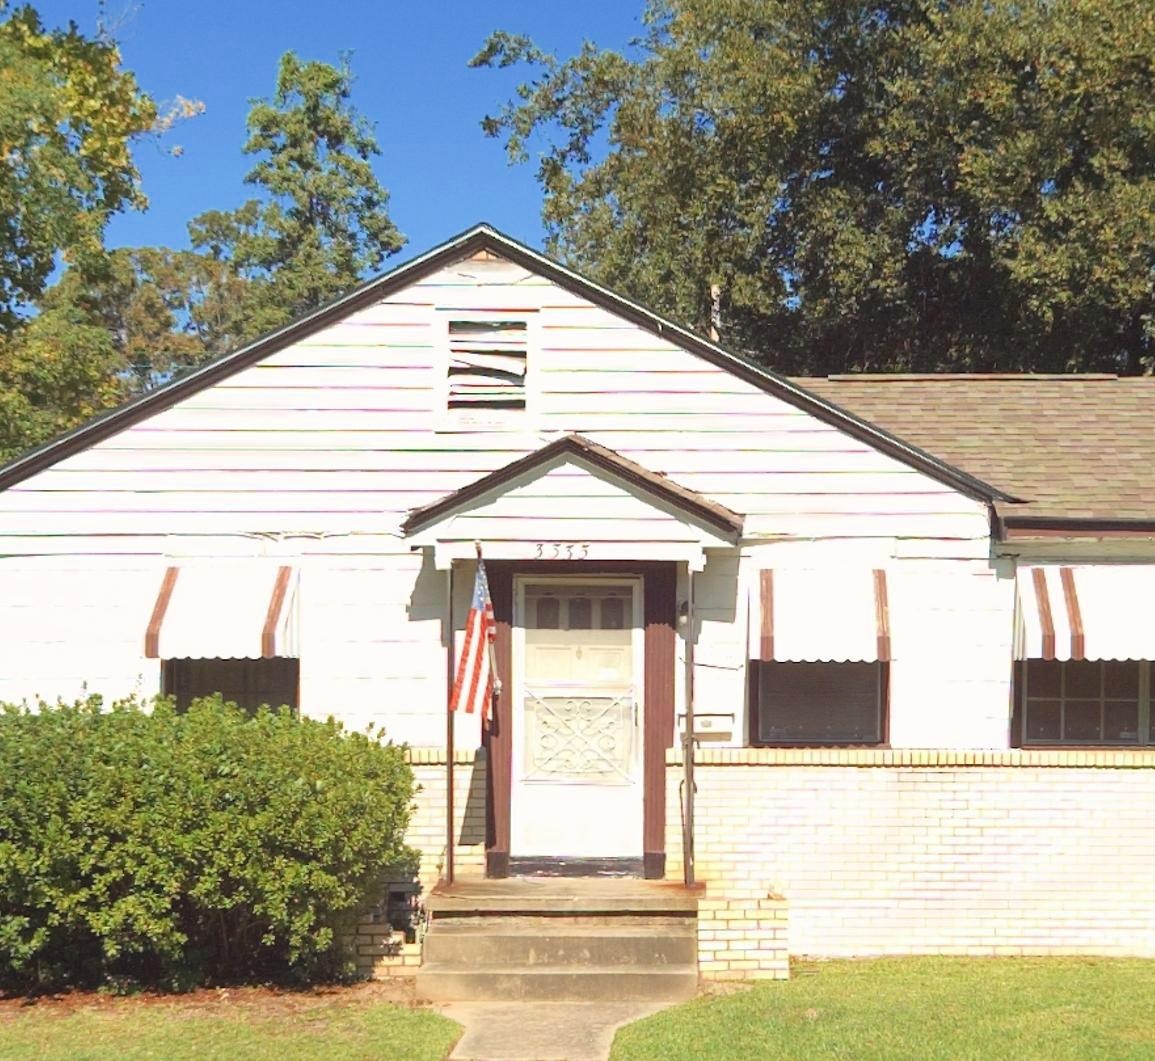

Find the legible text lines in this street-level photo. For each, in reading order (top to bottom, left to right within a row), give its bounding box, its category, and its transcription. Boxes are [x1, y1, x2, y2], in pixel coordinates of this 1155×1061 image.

[532, 543, 592, 561] StreetNumber: 3335